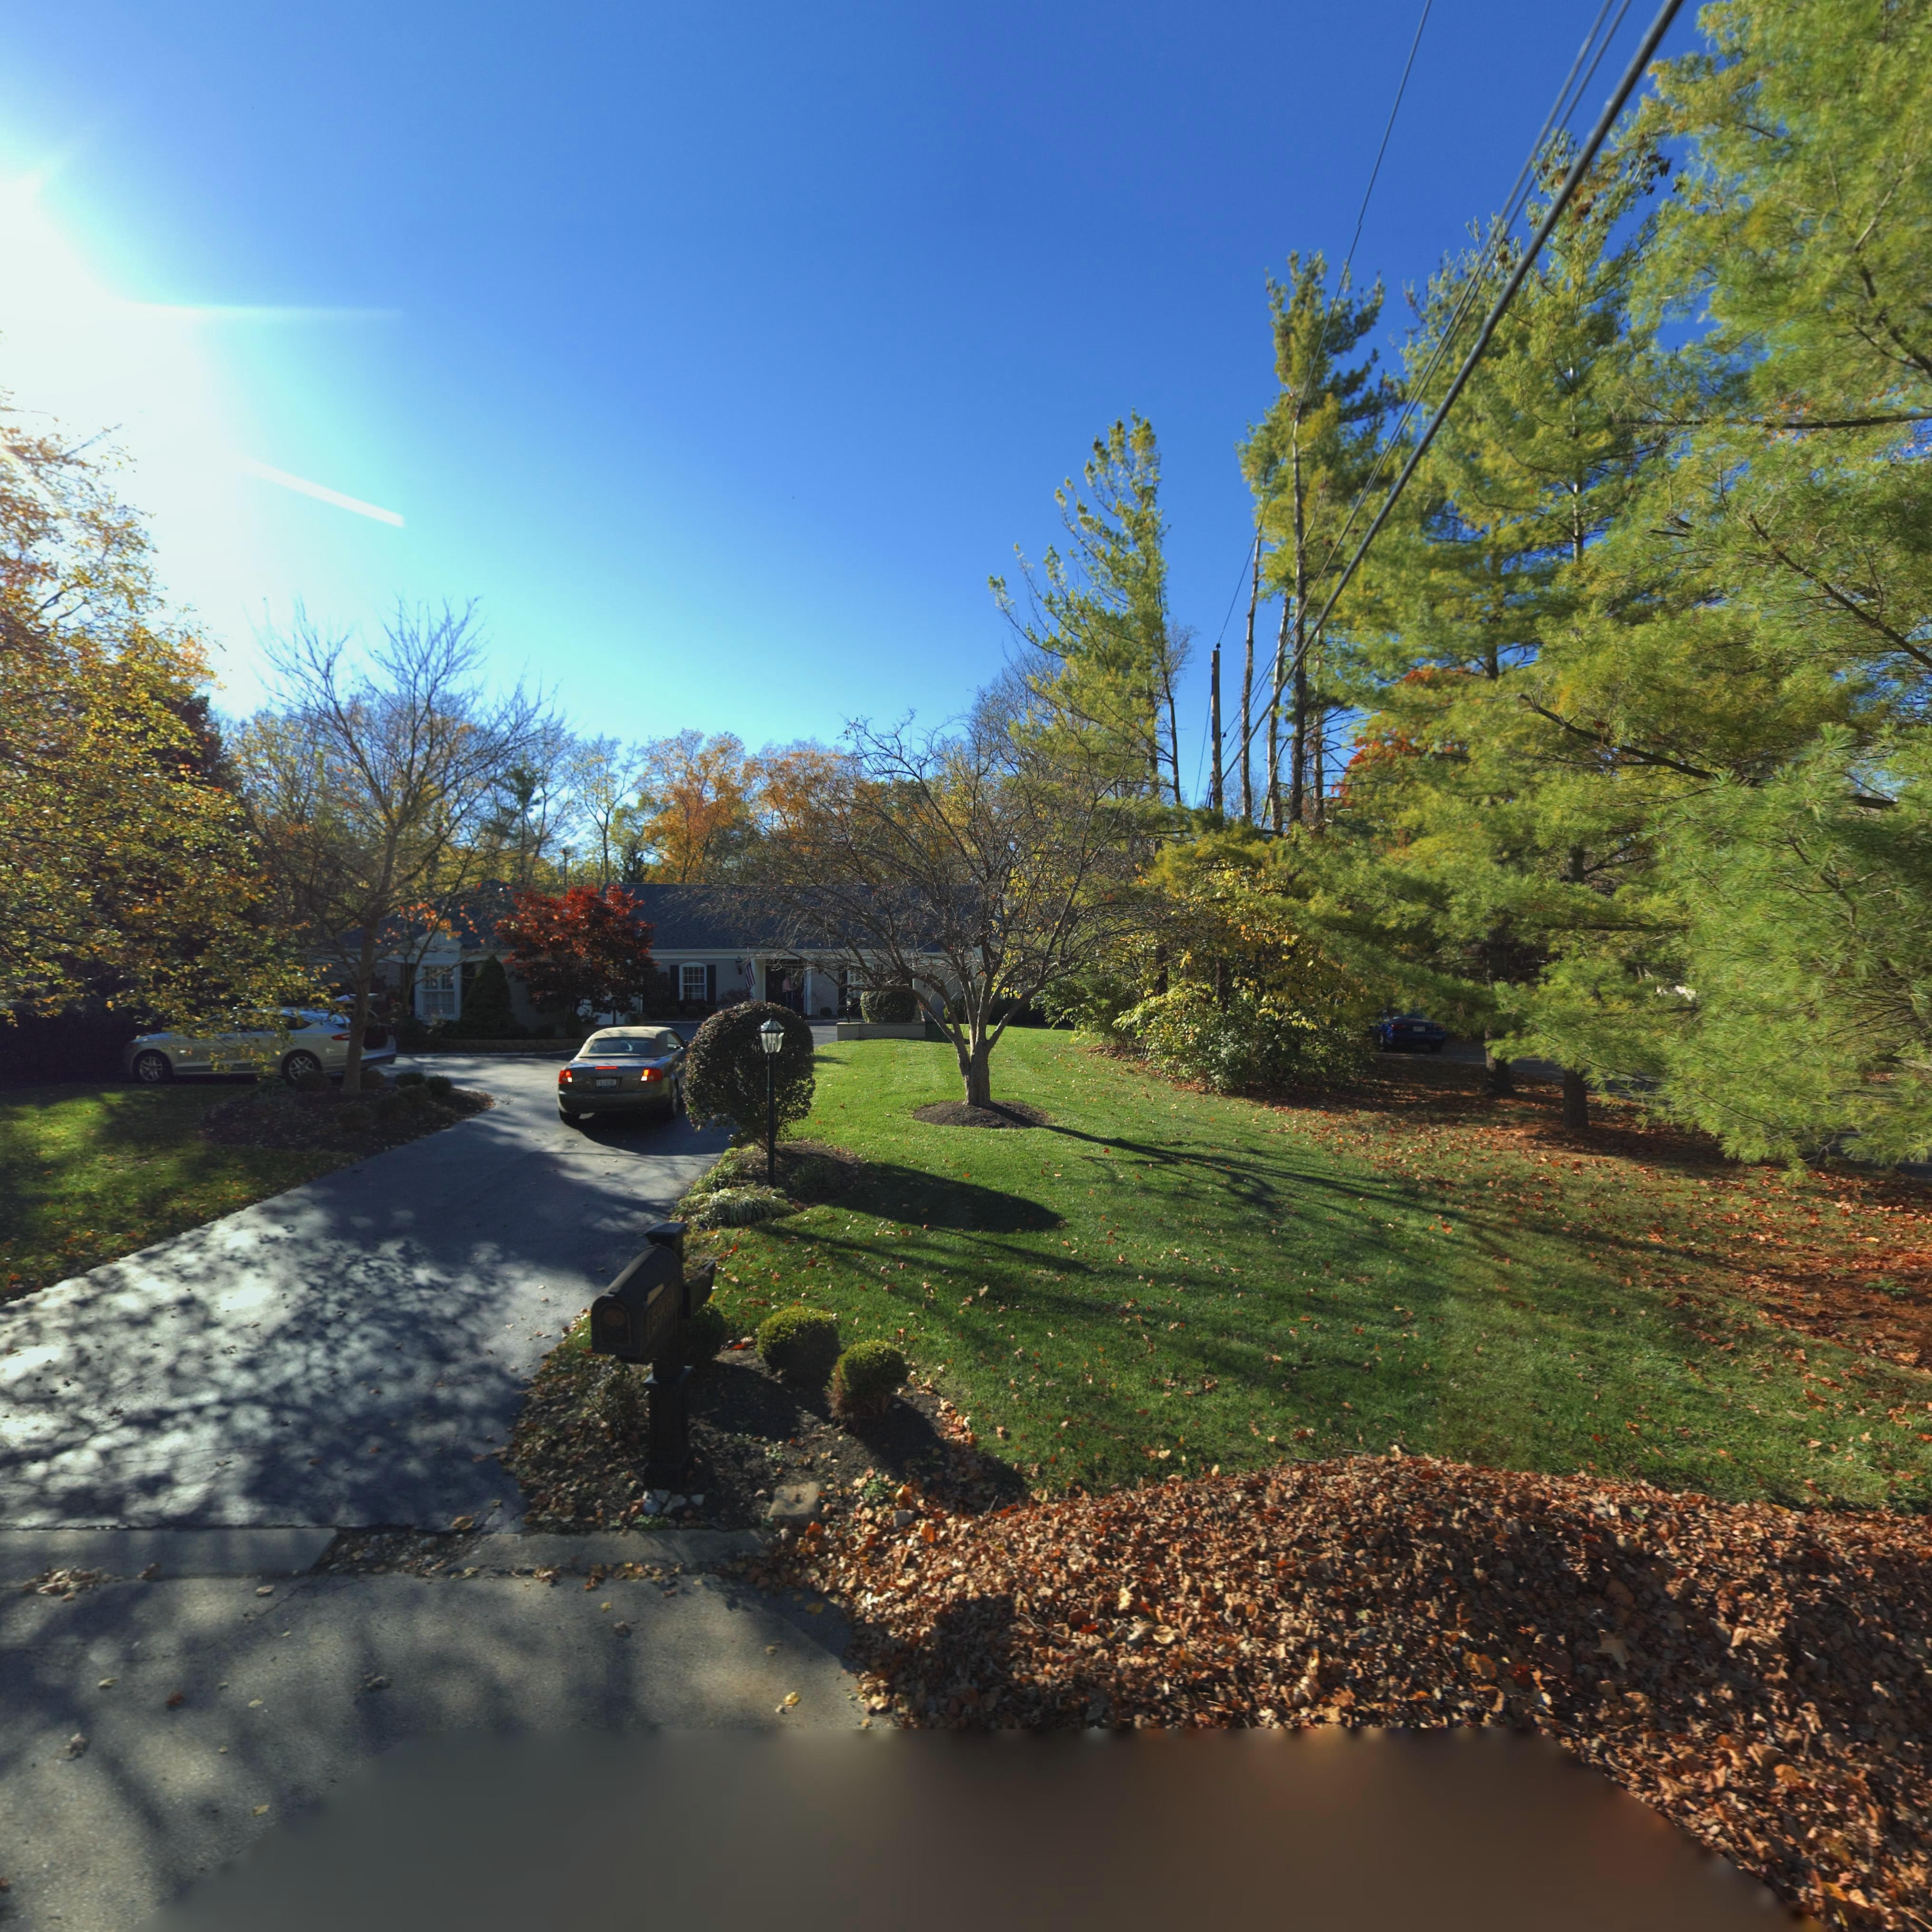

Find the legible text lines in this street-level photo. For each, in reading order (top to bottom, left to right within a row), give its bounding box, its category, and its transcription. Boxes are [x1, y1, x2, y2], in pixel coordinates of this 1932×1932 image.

[649, 1288, 675, 1333] StreetNumber: 5909